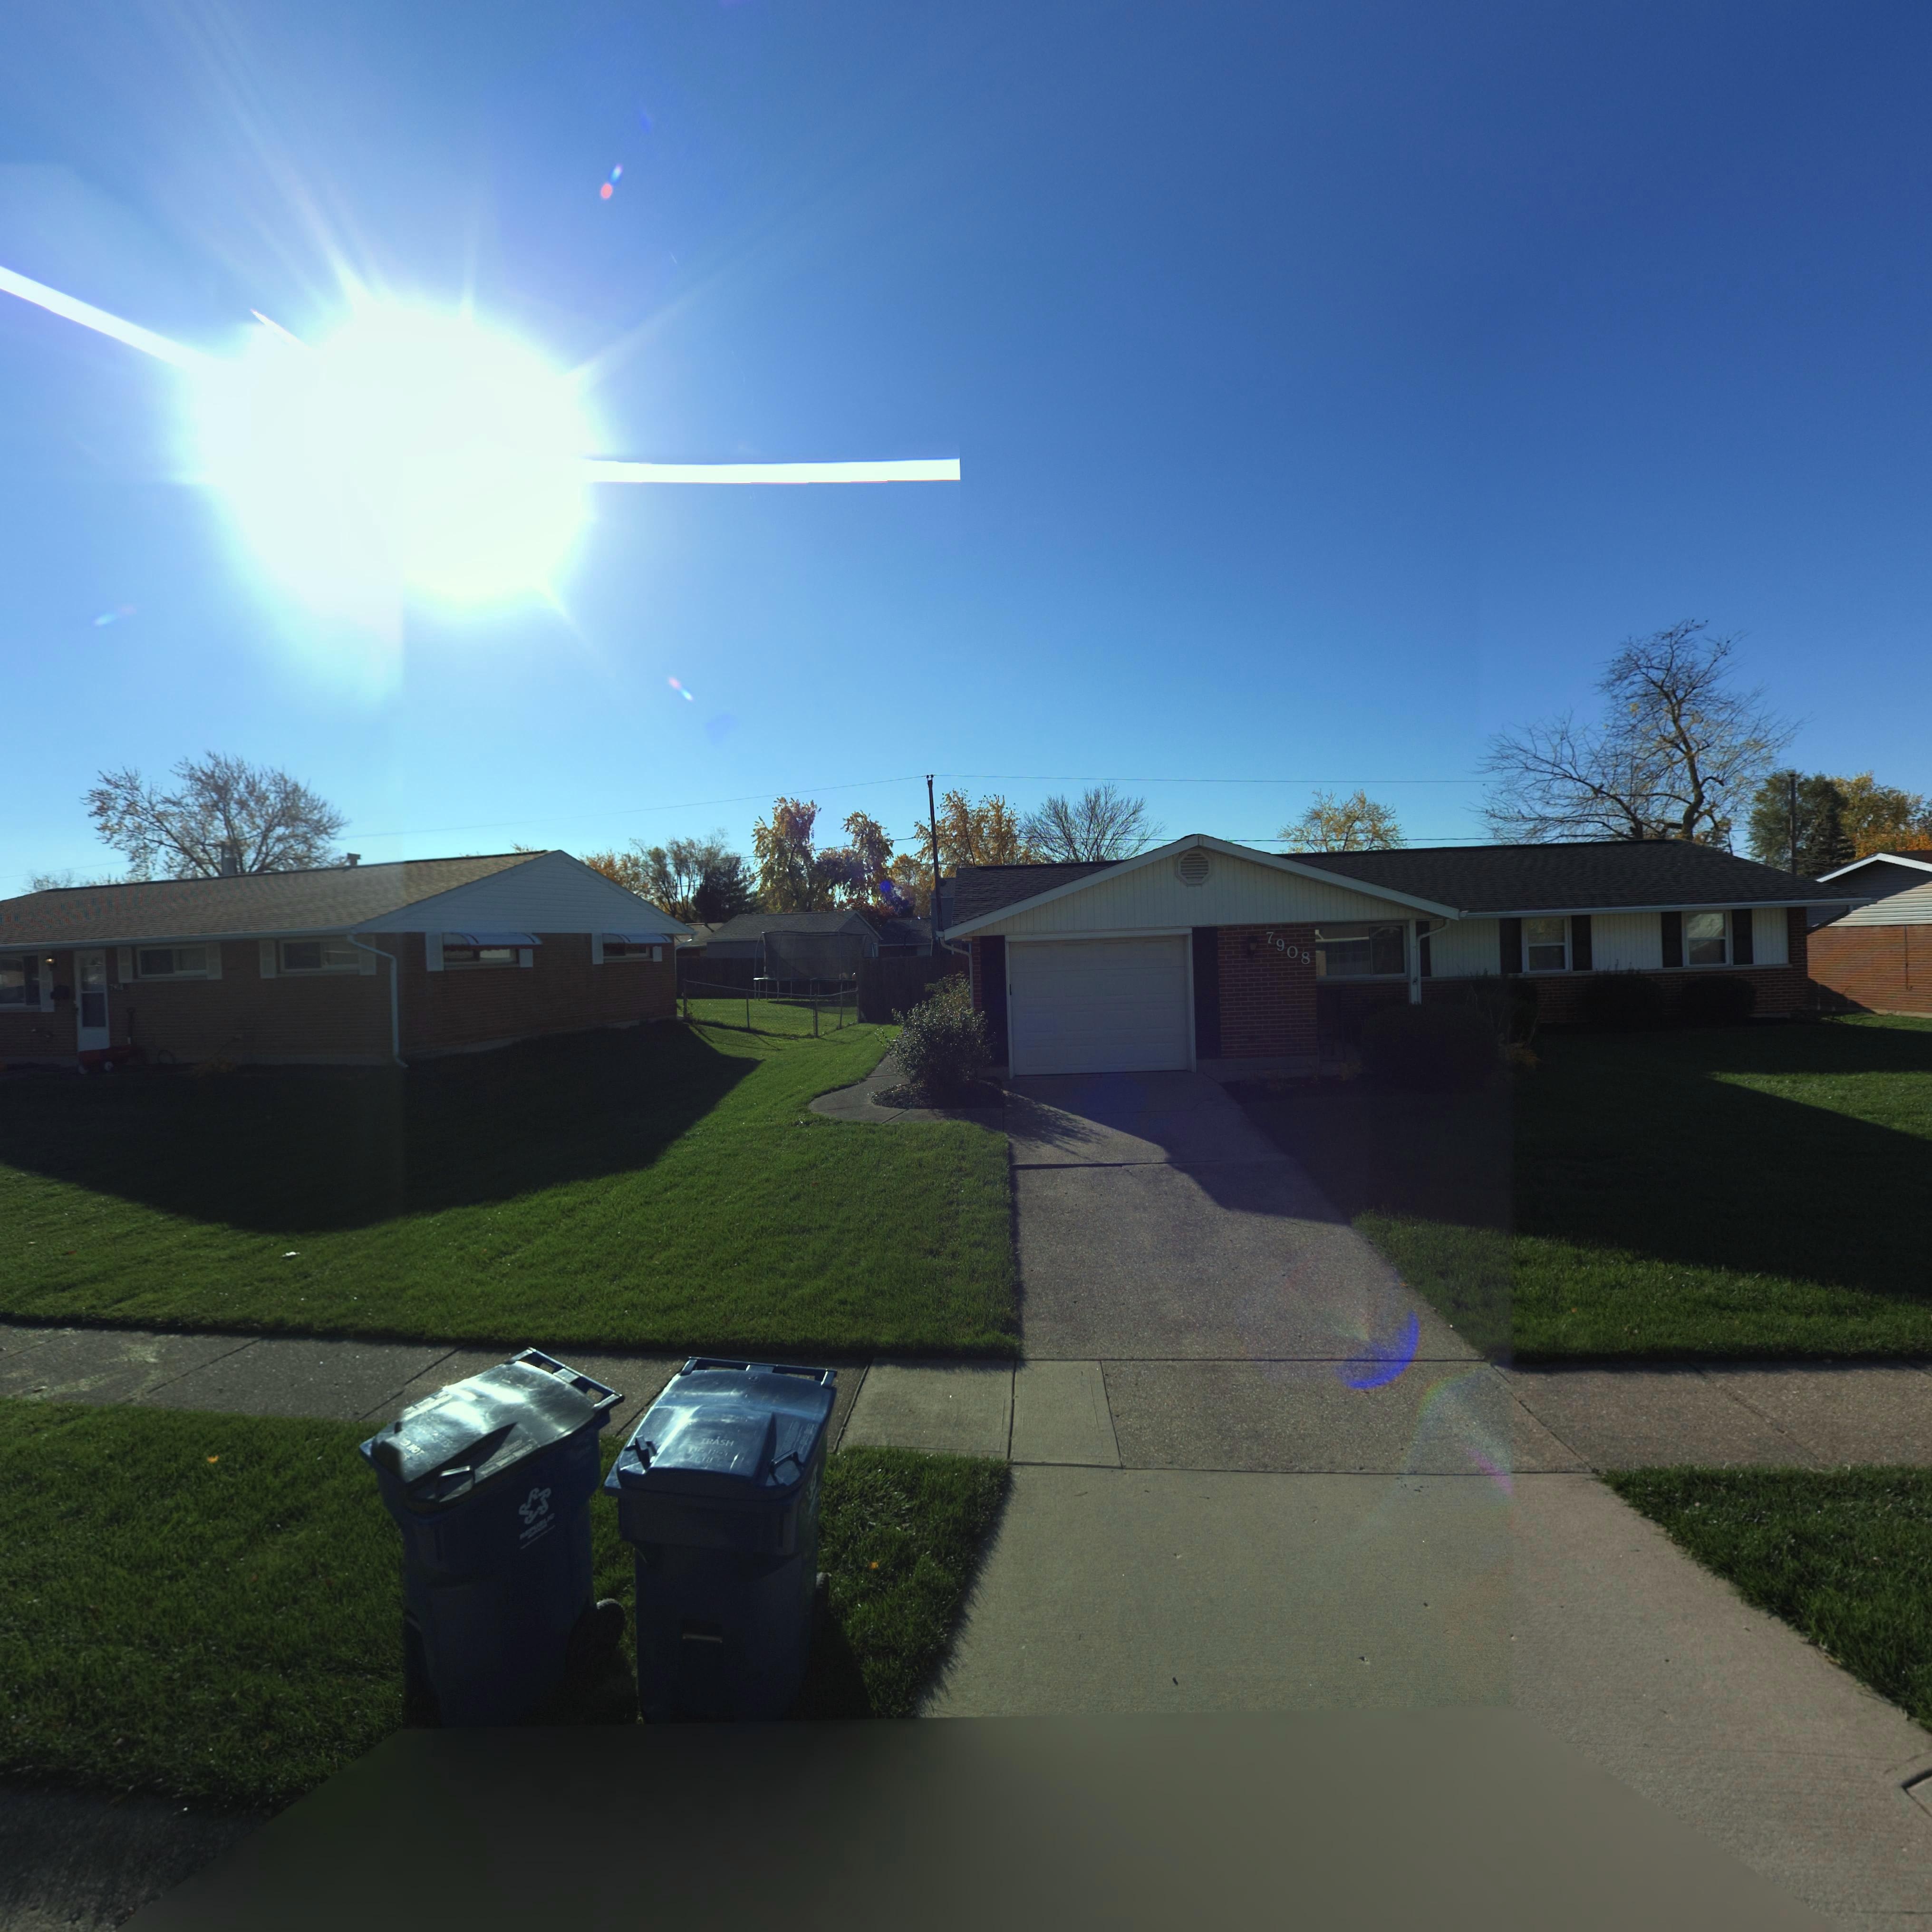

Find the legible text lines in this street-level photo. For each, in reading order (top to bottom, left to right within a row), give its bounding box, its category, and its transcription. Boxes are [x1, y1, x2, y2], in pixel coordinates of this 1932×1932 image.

[1265, 931, 1311, 966] StreetNumber: 7908